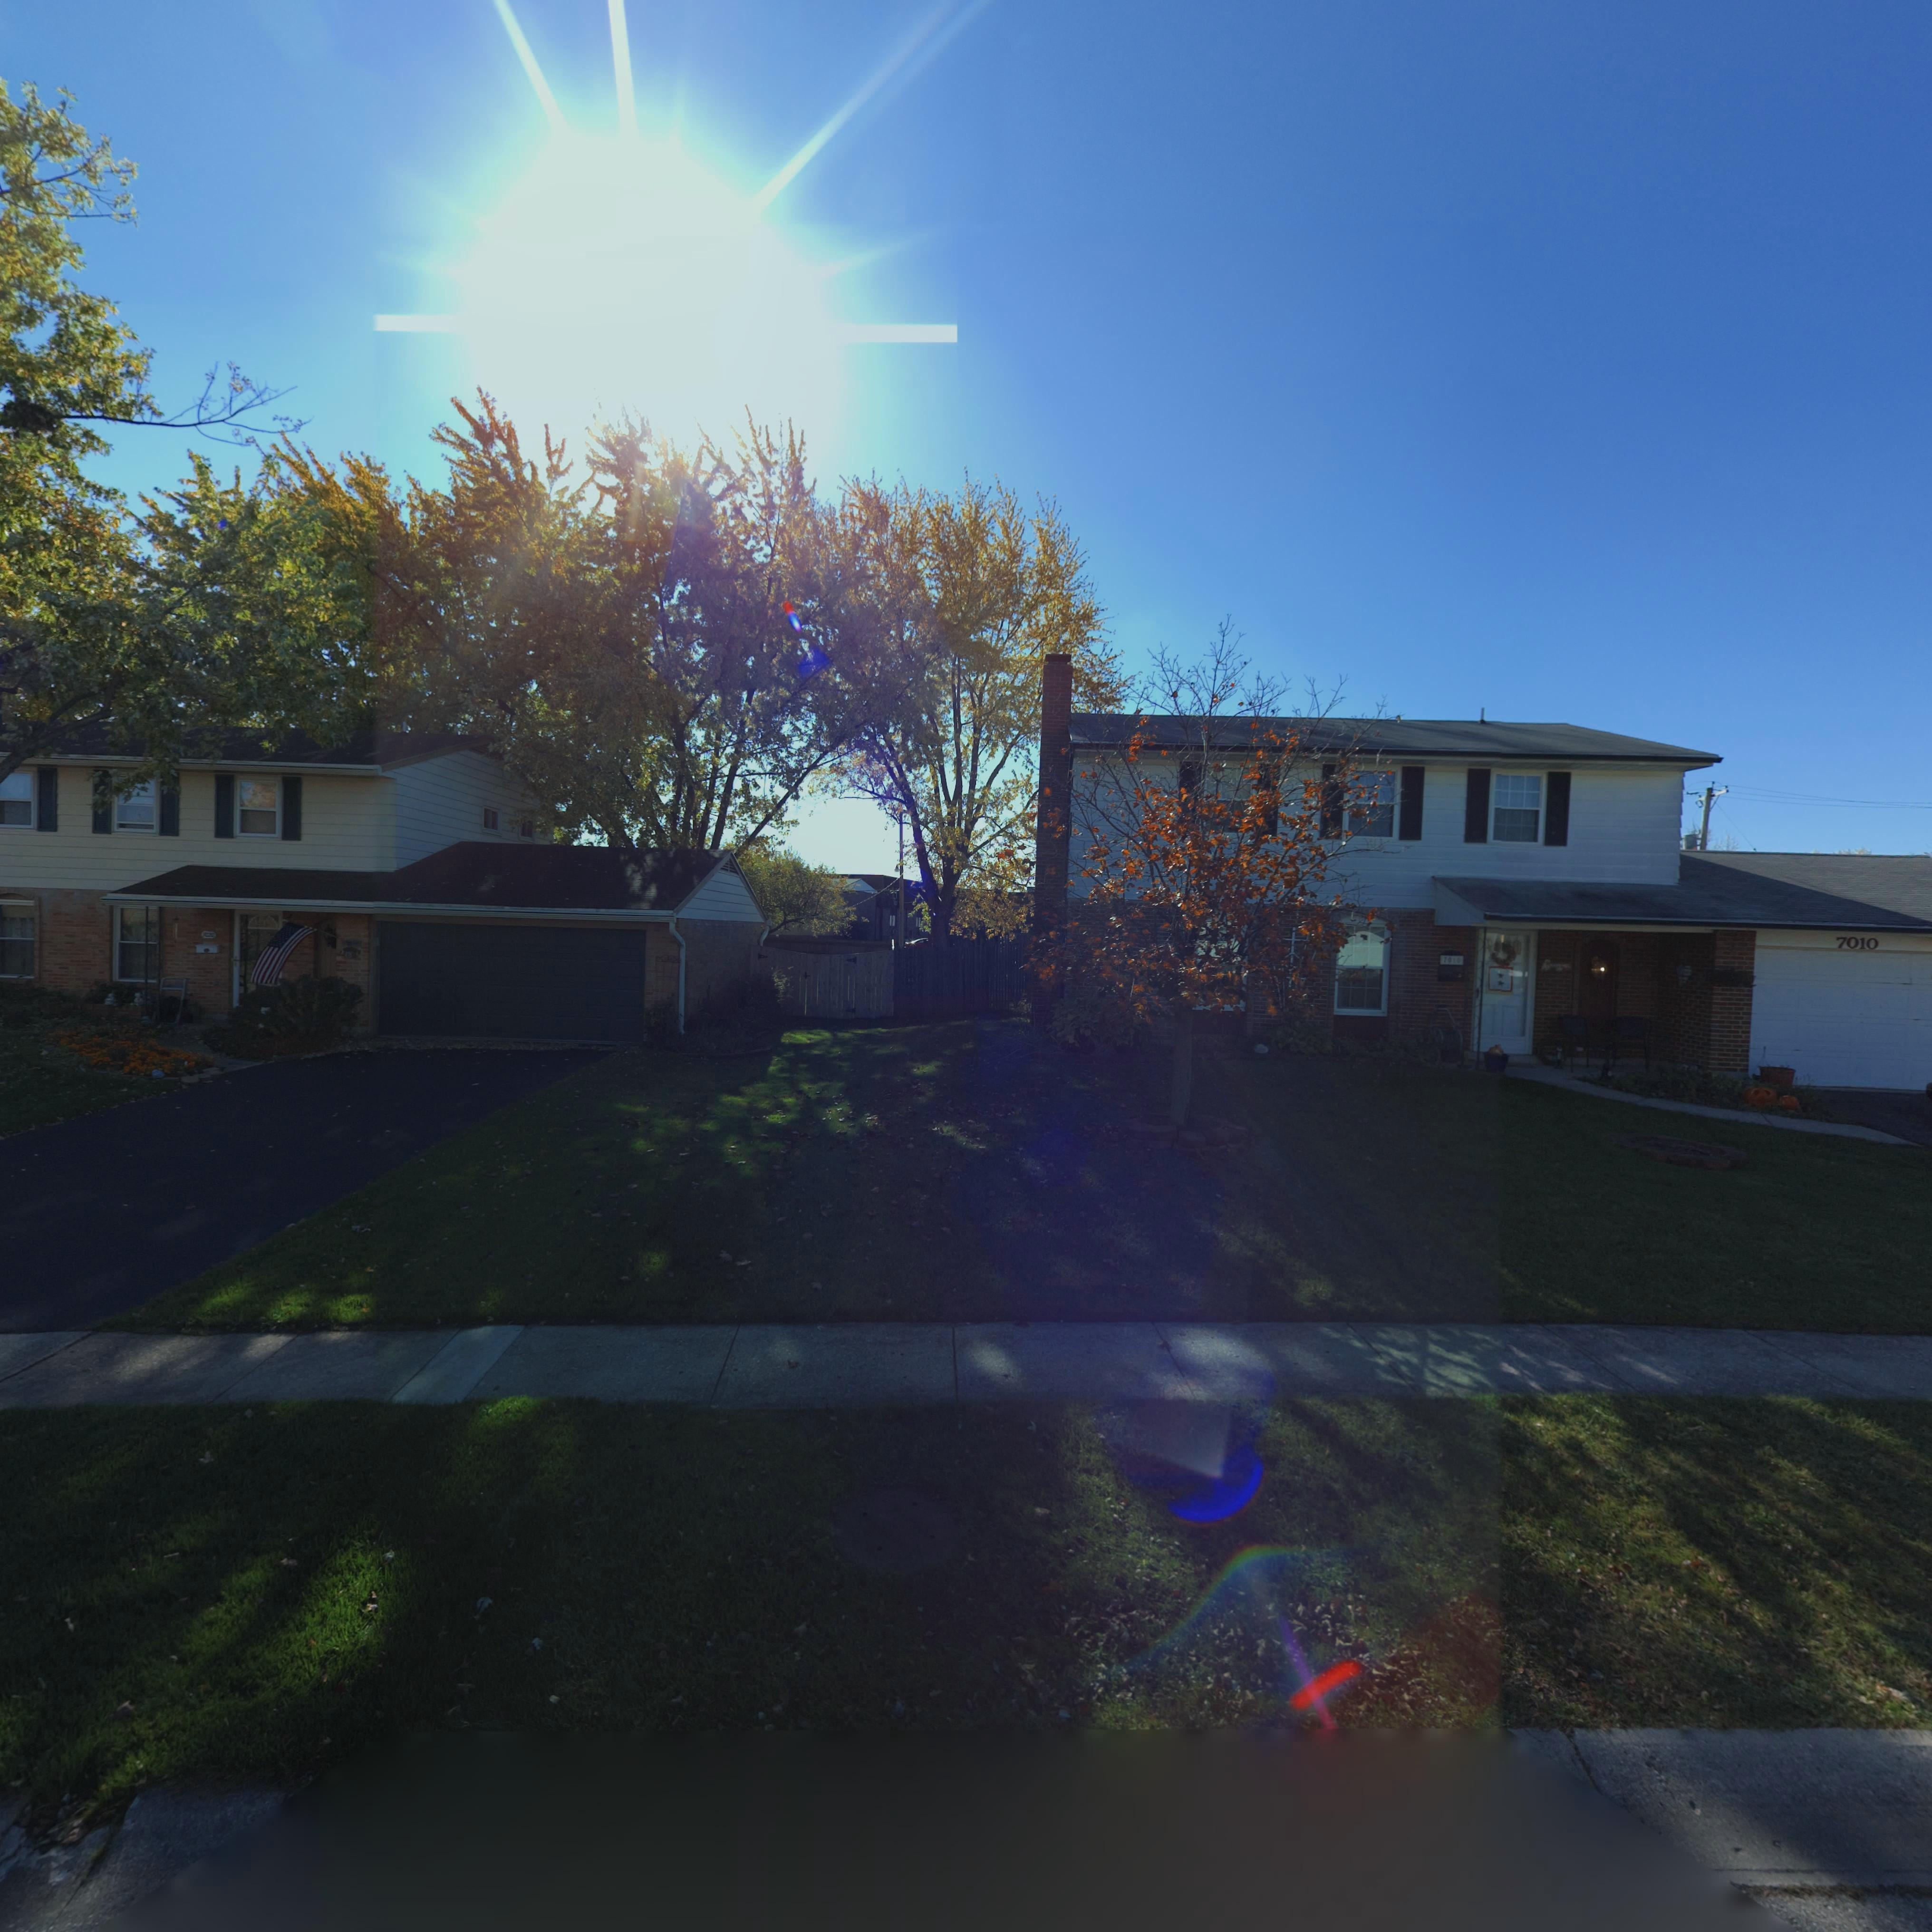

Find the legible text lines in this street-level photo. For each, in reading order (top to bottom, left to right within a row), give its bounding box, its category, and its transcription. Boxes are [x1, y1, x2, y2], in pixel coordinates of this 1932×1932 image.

[201, 931, 216, 938] StreetNumber: 7020
[1835, 936, 1880, 951] StreetNumber: 7010
[1442, 956, 1462, 964] StreetNumber: 7010